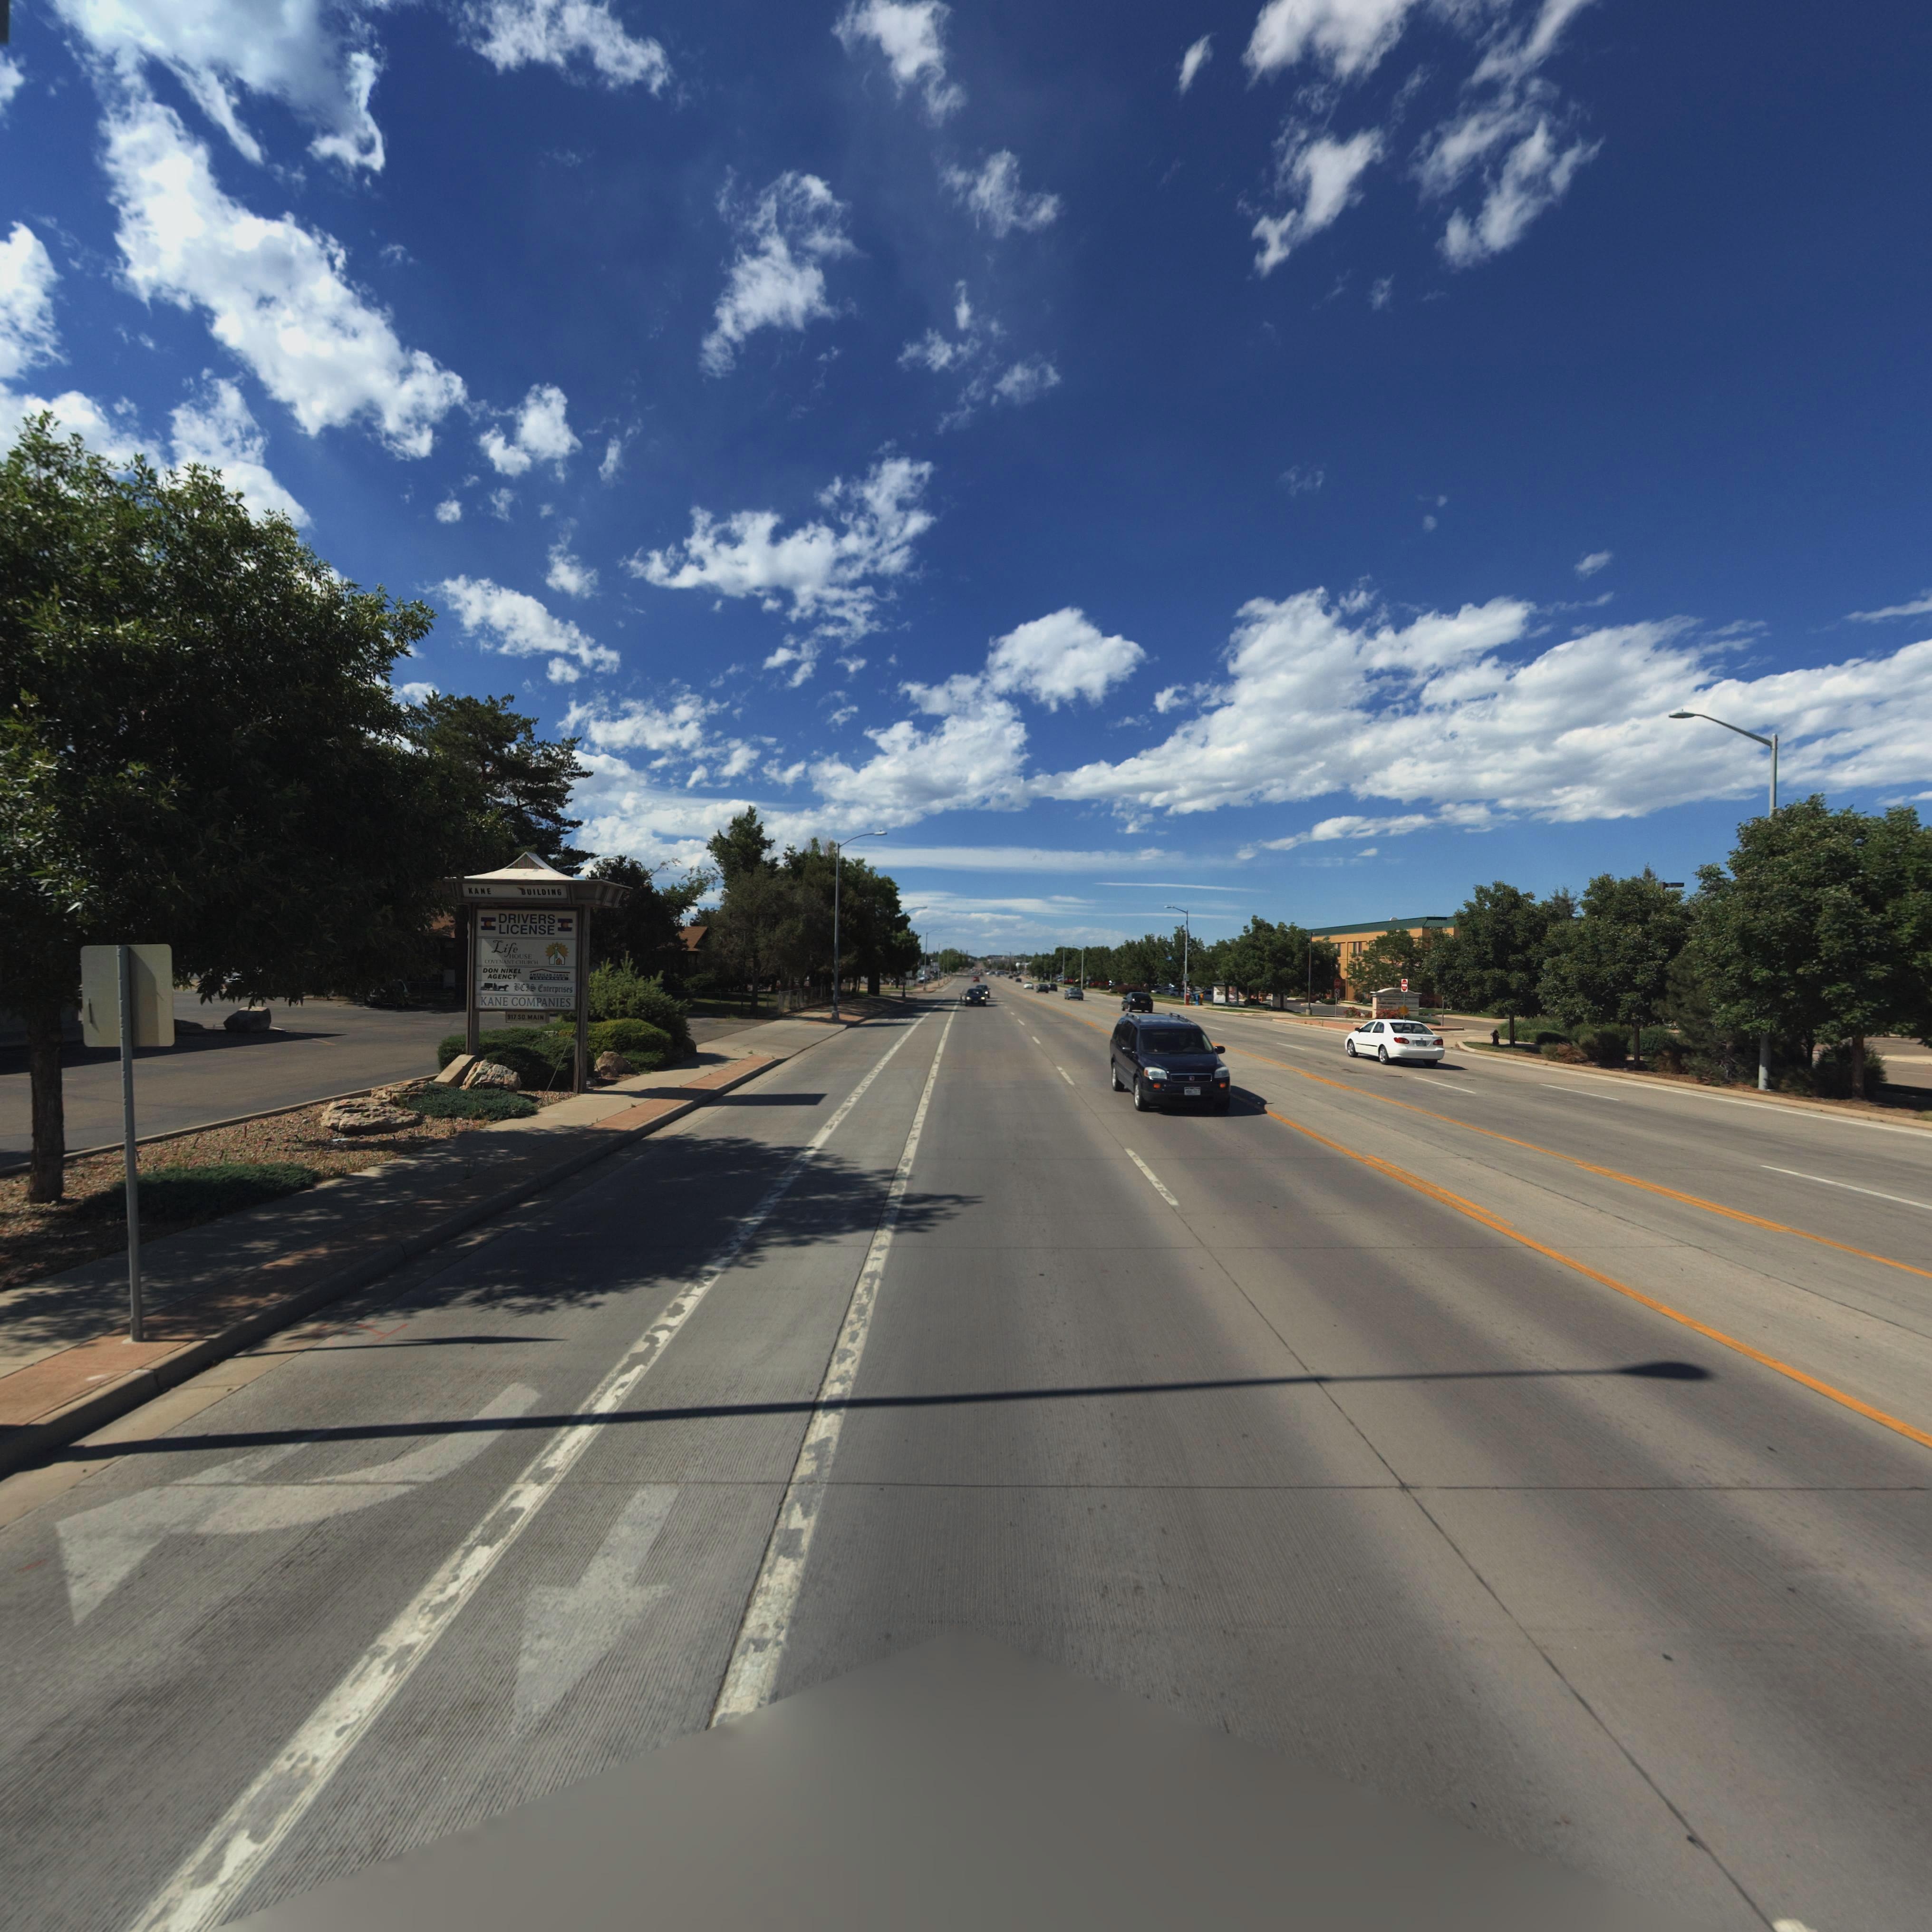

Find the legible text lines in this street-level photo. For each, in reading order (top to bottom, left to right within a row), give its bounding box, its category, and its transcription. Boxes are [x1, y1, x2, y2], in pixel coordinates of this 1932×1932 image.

[467, 887, 562, 896] BusinessName: KANE BUILDING
[491, 938, 519, 958] BusinessName: Life
[509, 953, 532, 959] BusinessName: HOUSE
[484, 959, 538, 965] BusinessName: COVENANT CHURCH
[529, 973, 569, 977] BusinessName: AMERICAN FAMILY
[532, 976, 565, 980] BusinessName: INSURANCE
[514, 983, 573, 994] BusinessName: BCIS Enterprises
[506, 1014, 516, 1020] StreetNumber: 917
[517, 1014, 544, 1020] StreetName: SO. MAIN